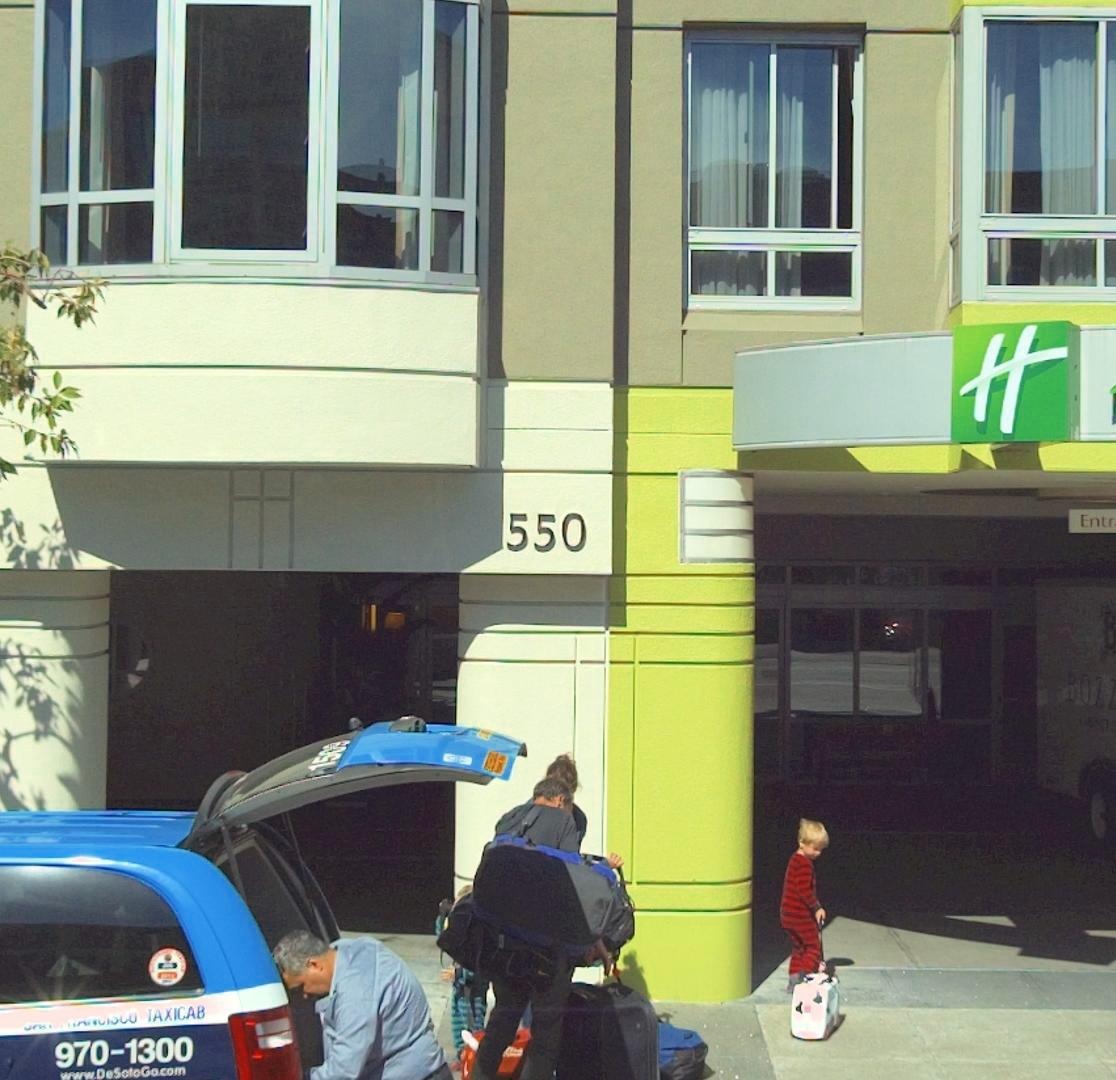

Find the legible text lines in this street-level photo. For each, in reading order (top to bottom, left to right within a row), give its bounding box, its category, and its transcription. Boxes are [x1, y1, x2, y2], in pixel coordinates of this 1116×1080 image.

[955, 322, 1073, 441] BusinessName: H
[506, 512, 586, 553] StreetNumber: 550
[1079, 513, 1115, 529] None: Entr
[304, 737, 354, 773] None: 1509
[145, 1003, 207, 1025] None: TAXICAB
[51, 1033, 195, 1070] None: 970-1300
[59, 1064, 188, 1080] None: www.DeSoloGo.com